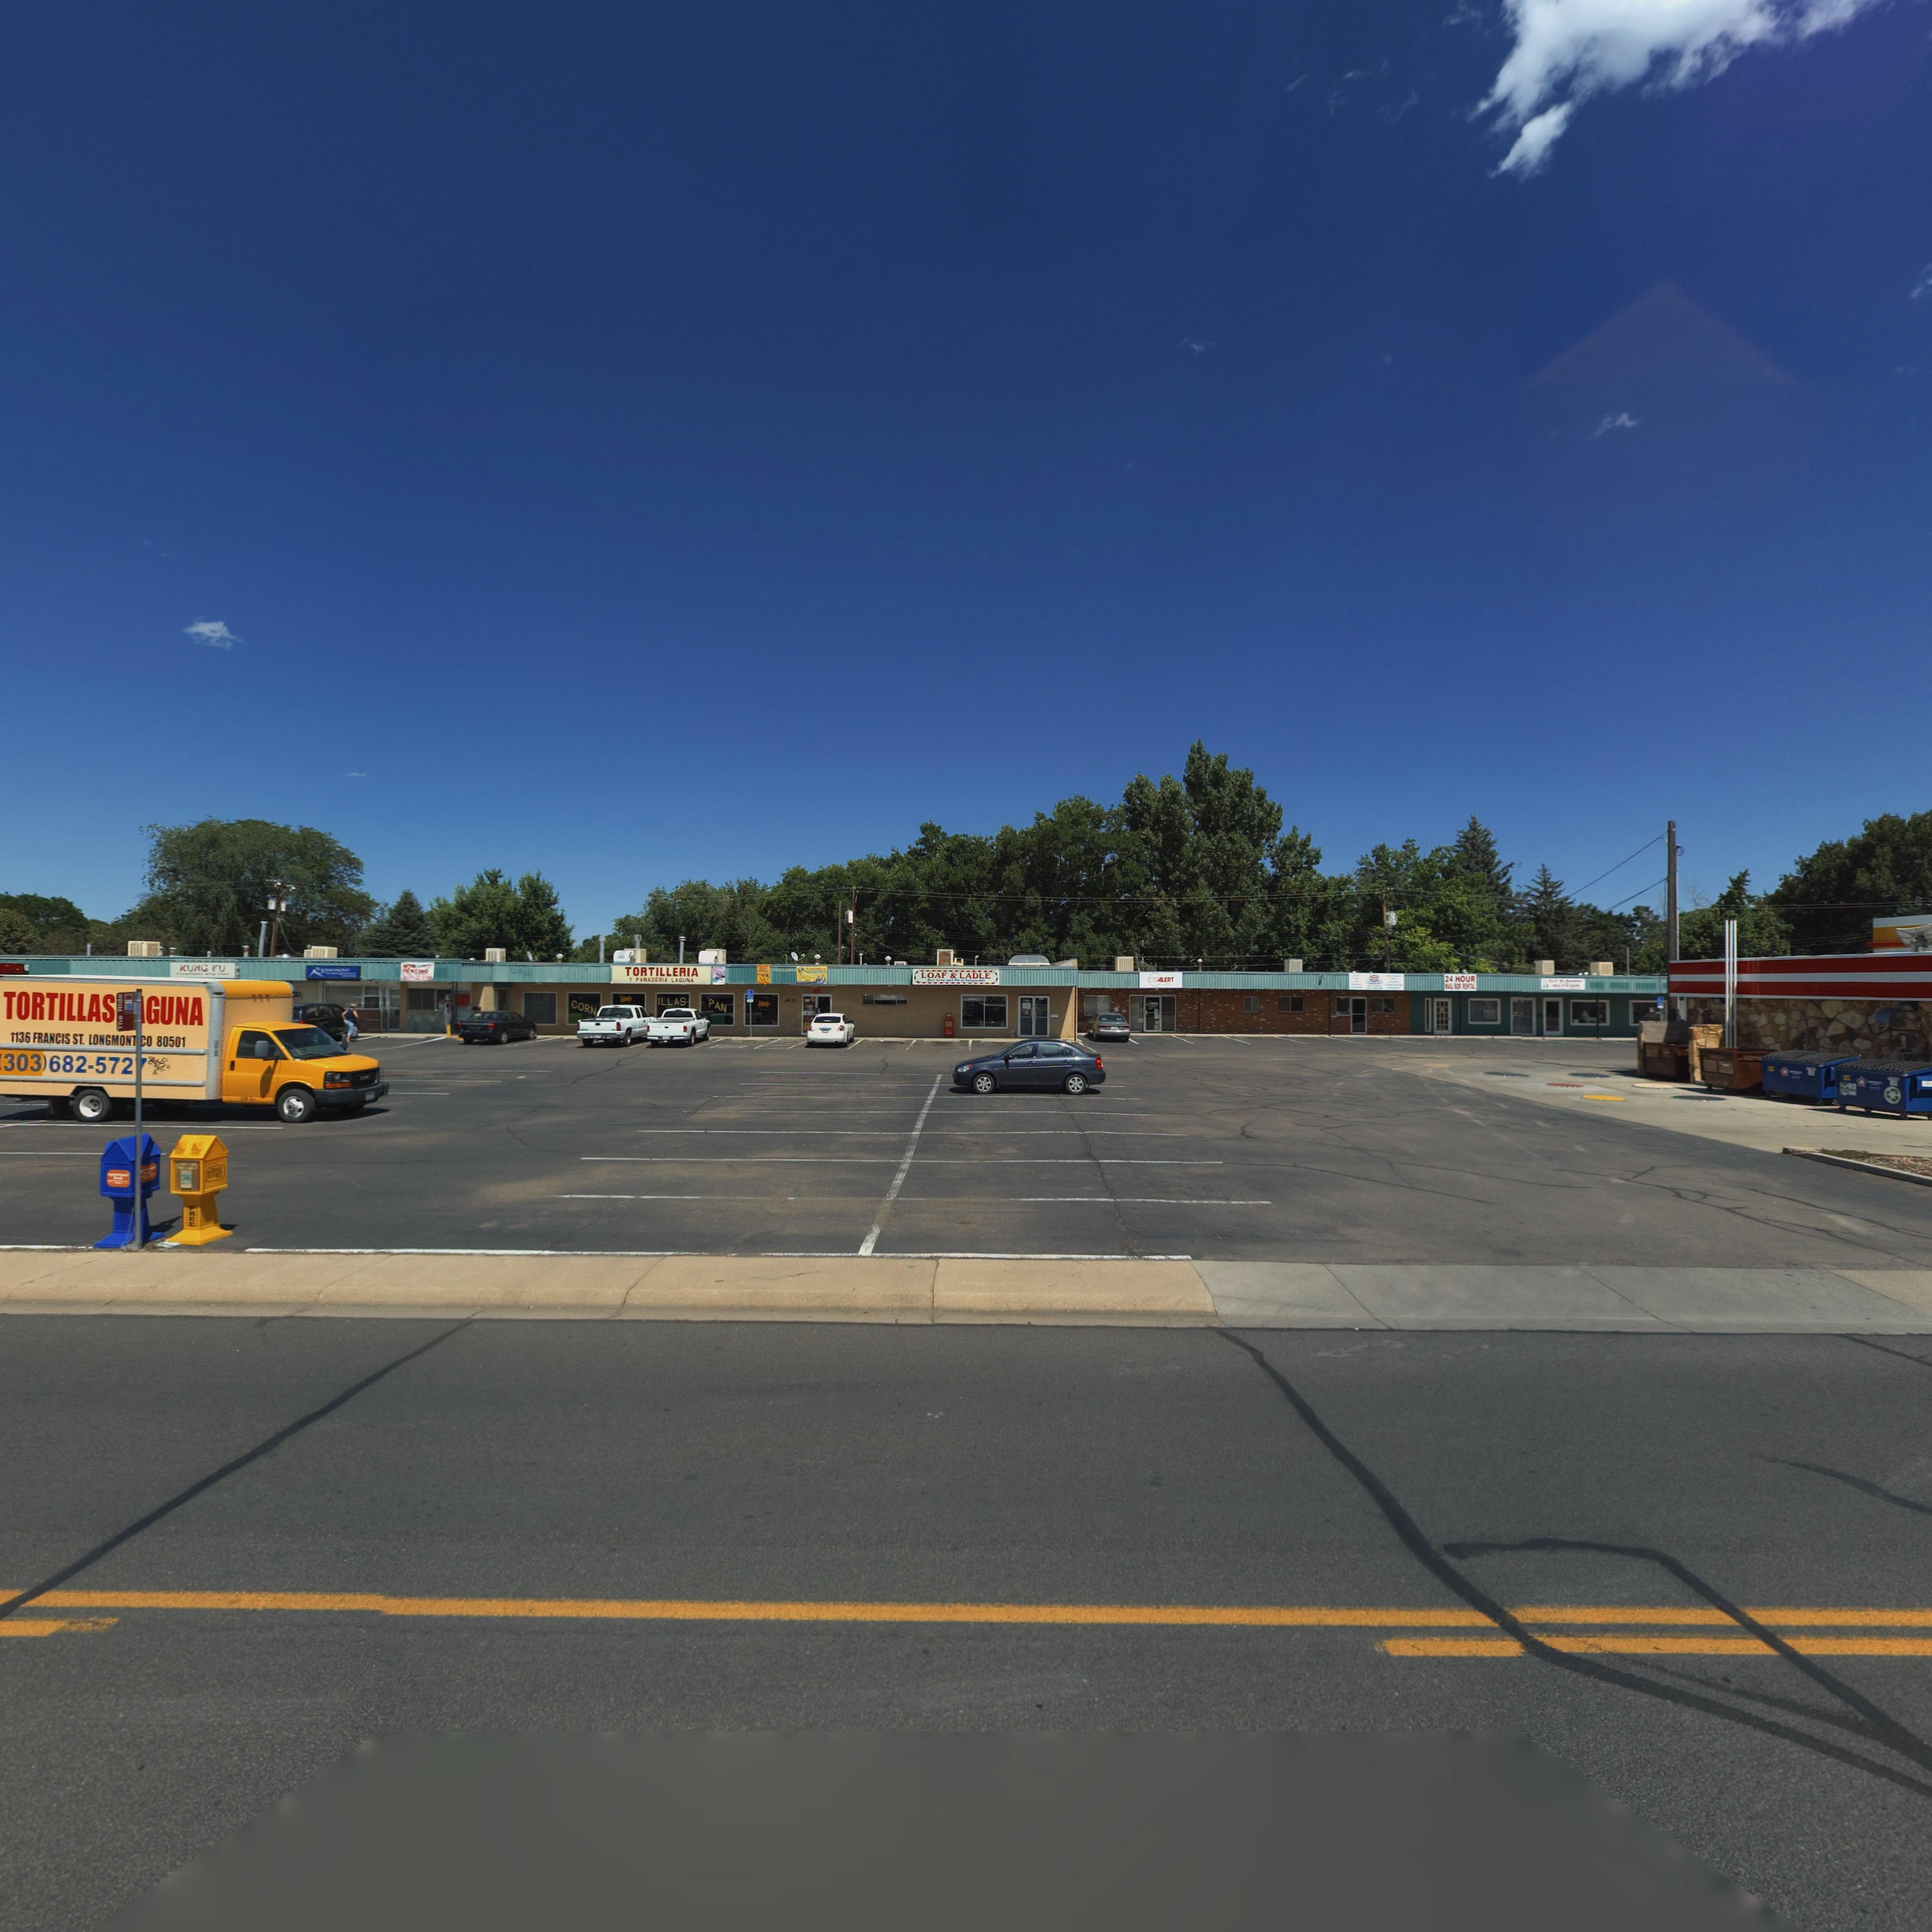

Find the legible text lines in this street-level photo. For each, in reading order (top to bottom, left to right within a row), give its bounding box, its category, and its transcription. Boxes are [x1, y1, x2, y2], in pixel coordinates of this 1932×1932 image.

[320, 968, 350, 973] BusinessName: LONGMONT
[625, 966, 699, 976] BusinessName: TORTILLERIA
[921, 972, 991, 979] StreetNumber: LOAF & LADDLE
[1156, 976, 1174, 982] StreetNumber: ALERT